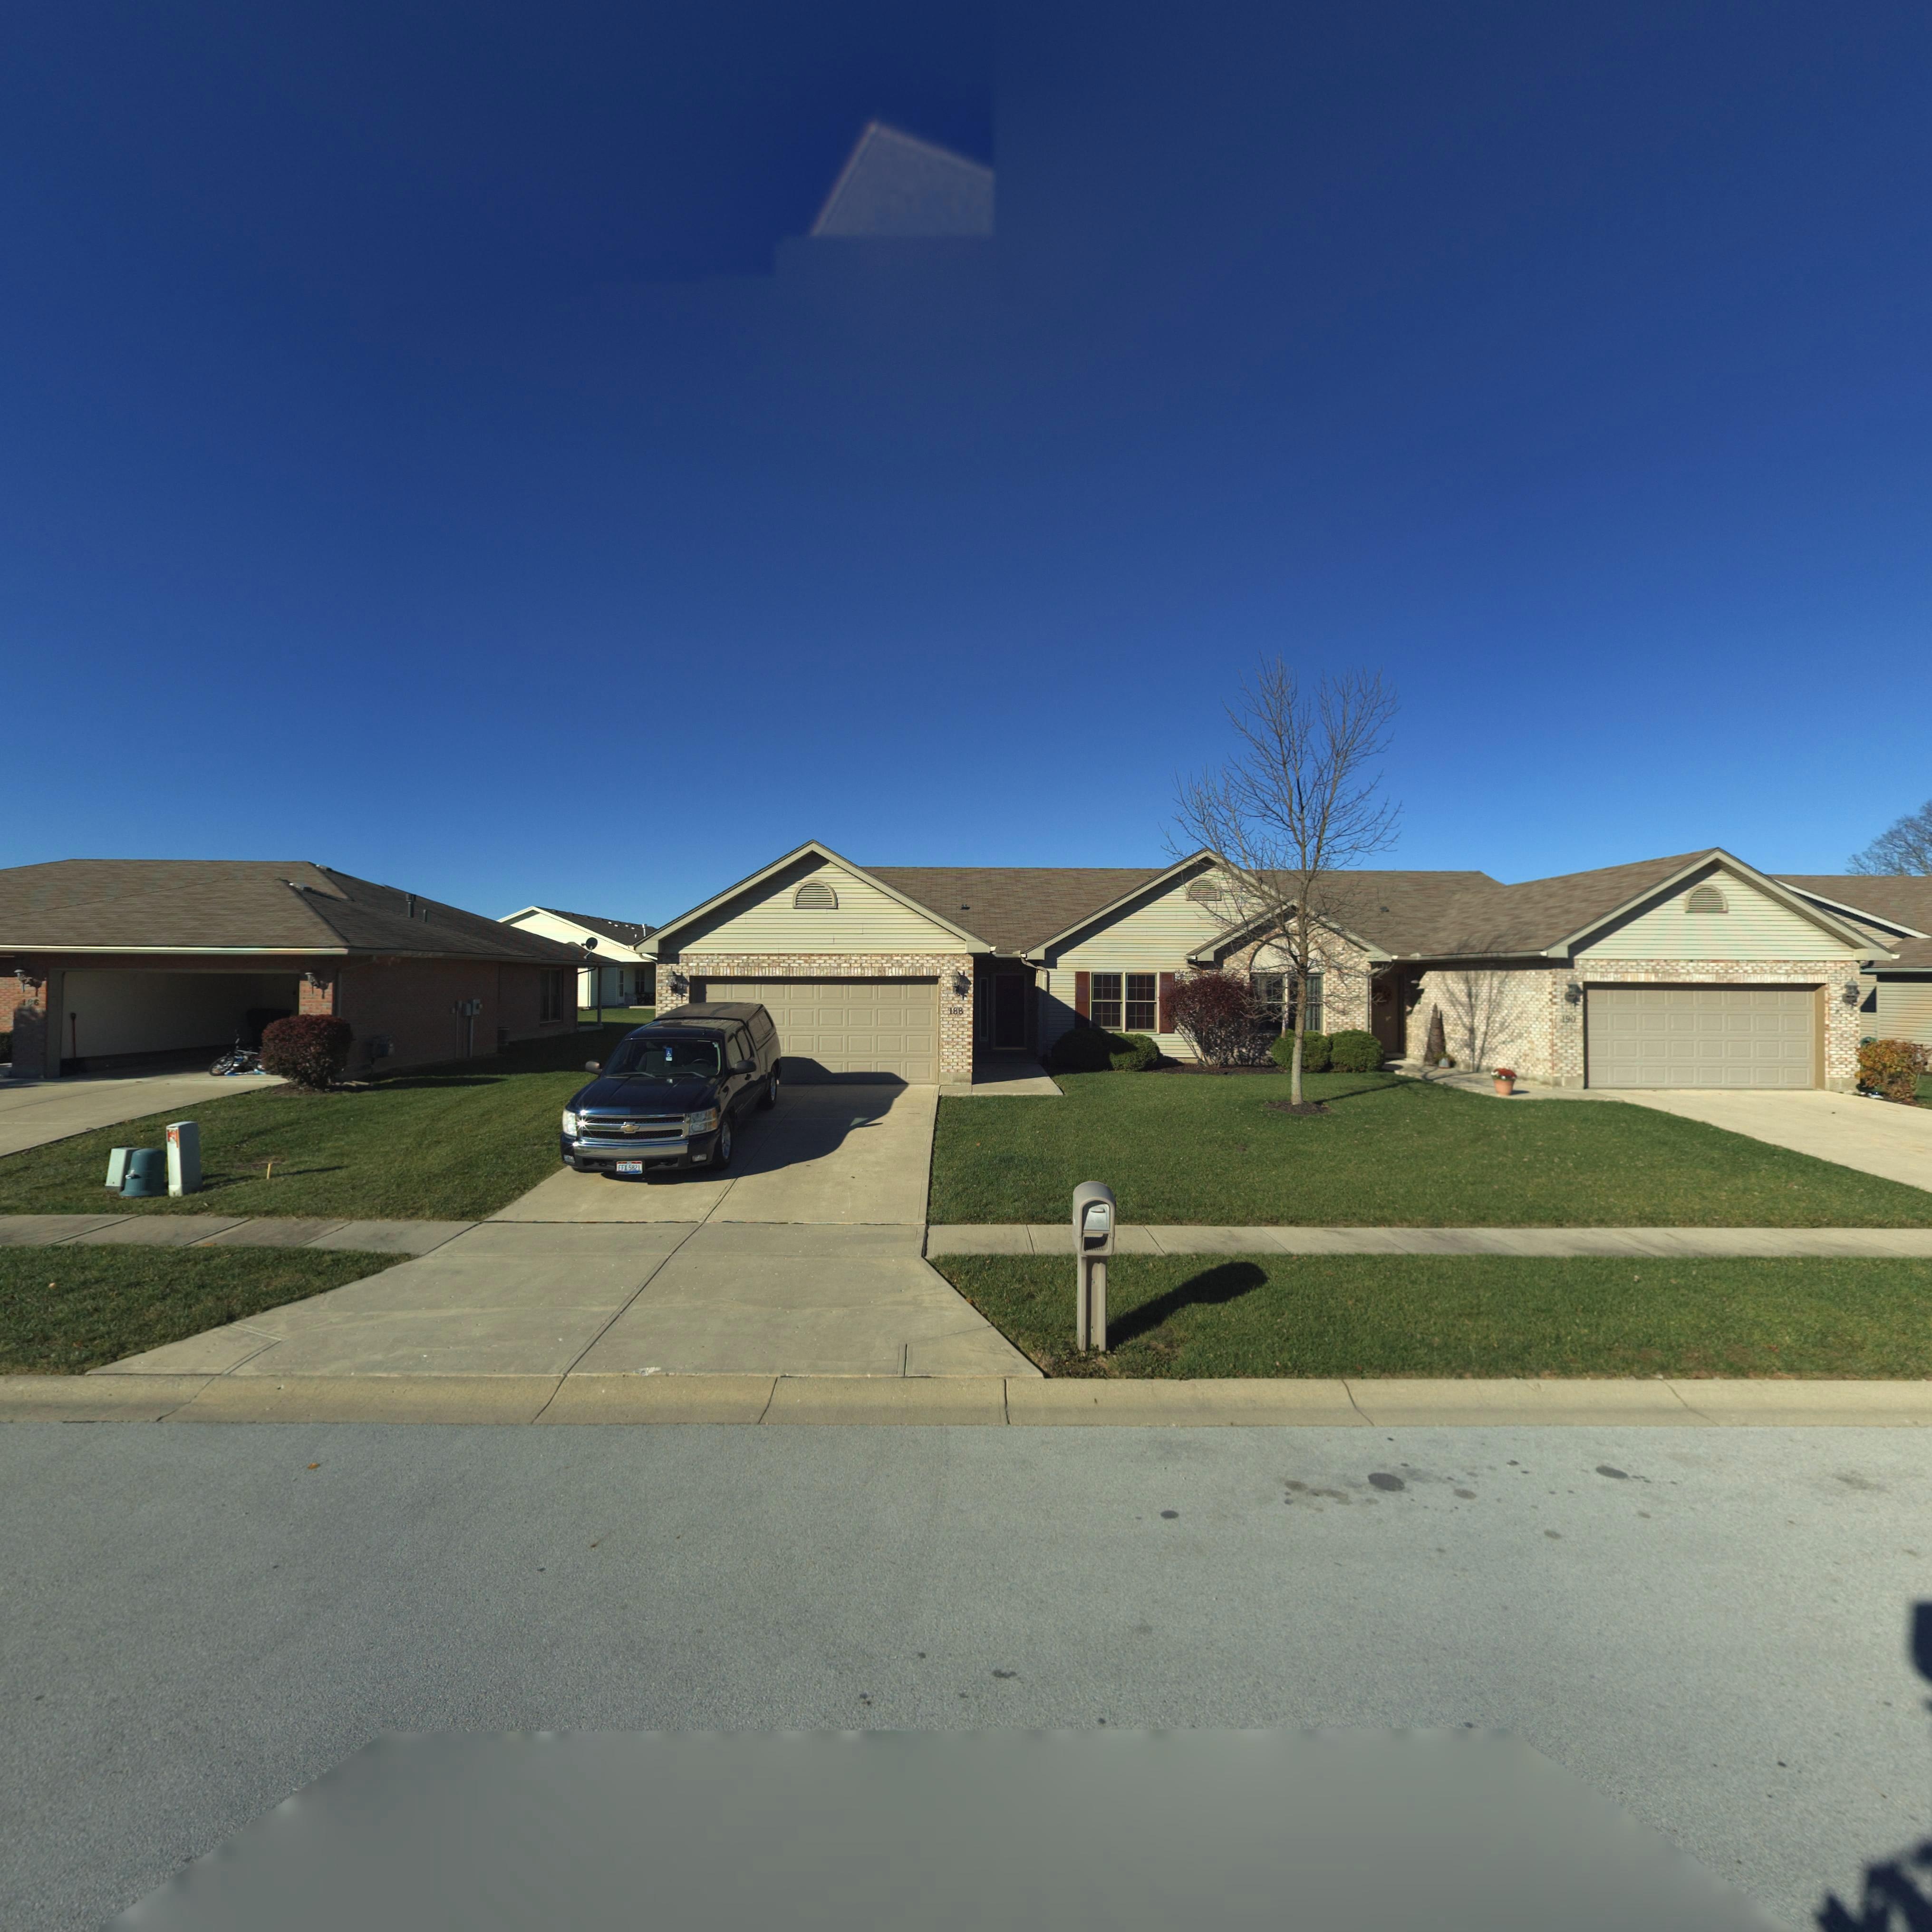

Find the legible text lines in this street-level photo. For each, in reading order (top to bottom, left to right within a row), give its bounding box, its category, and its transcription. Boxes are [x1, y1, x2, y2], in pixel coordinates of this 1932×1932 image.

[21, 998, 40, 1007] StreetNumber: 1*6
[949, 1006, 964, 1015] StreetNumber: 188
[1561, 1014, 1577, 1024] StreetNumber: 190